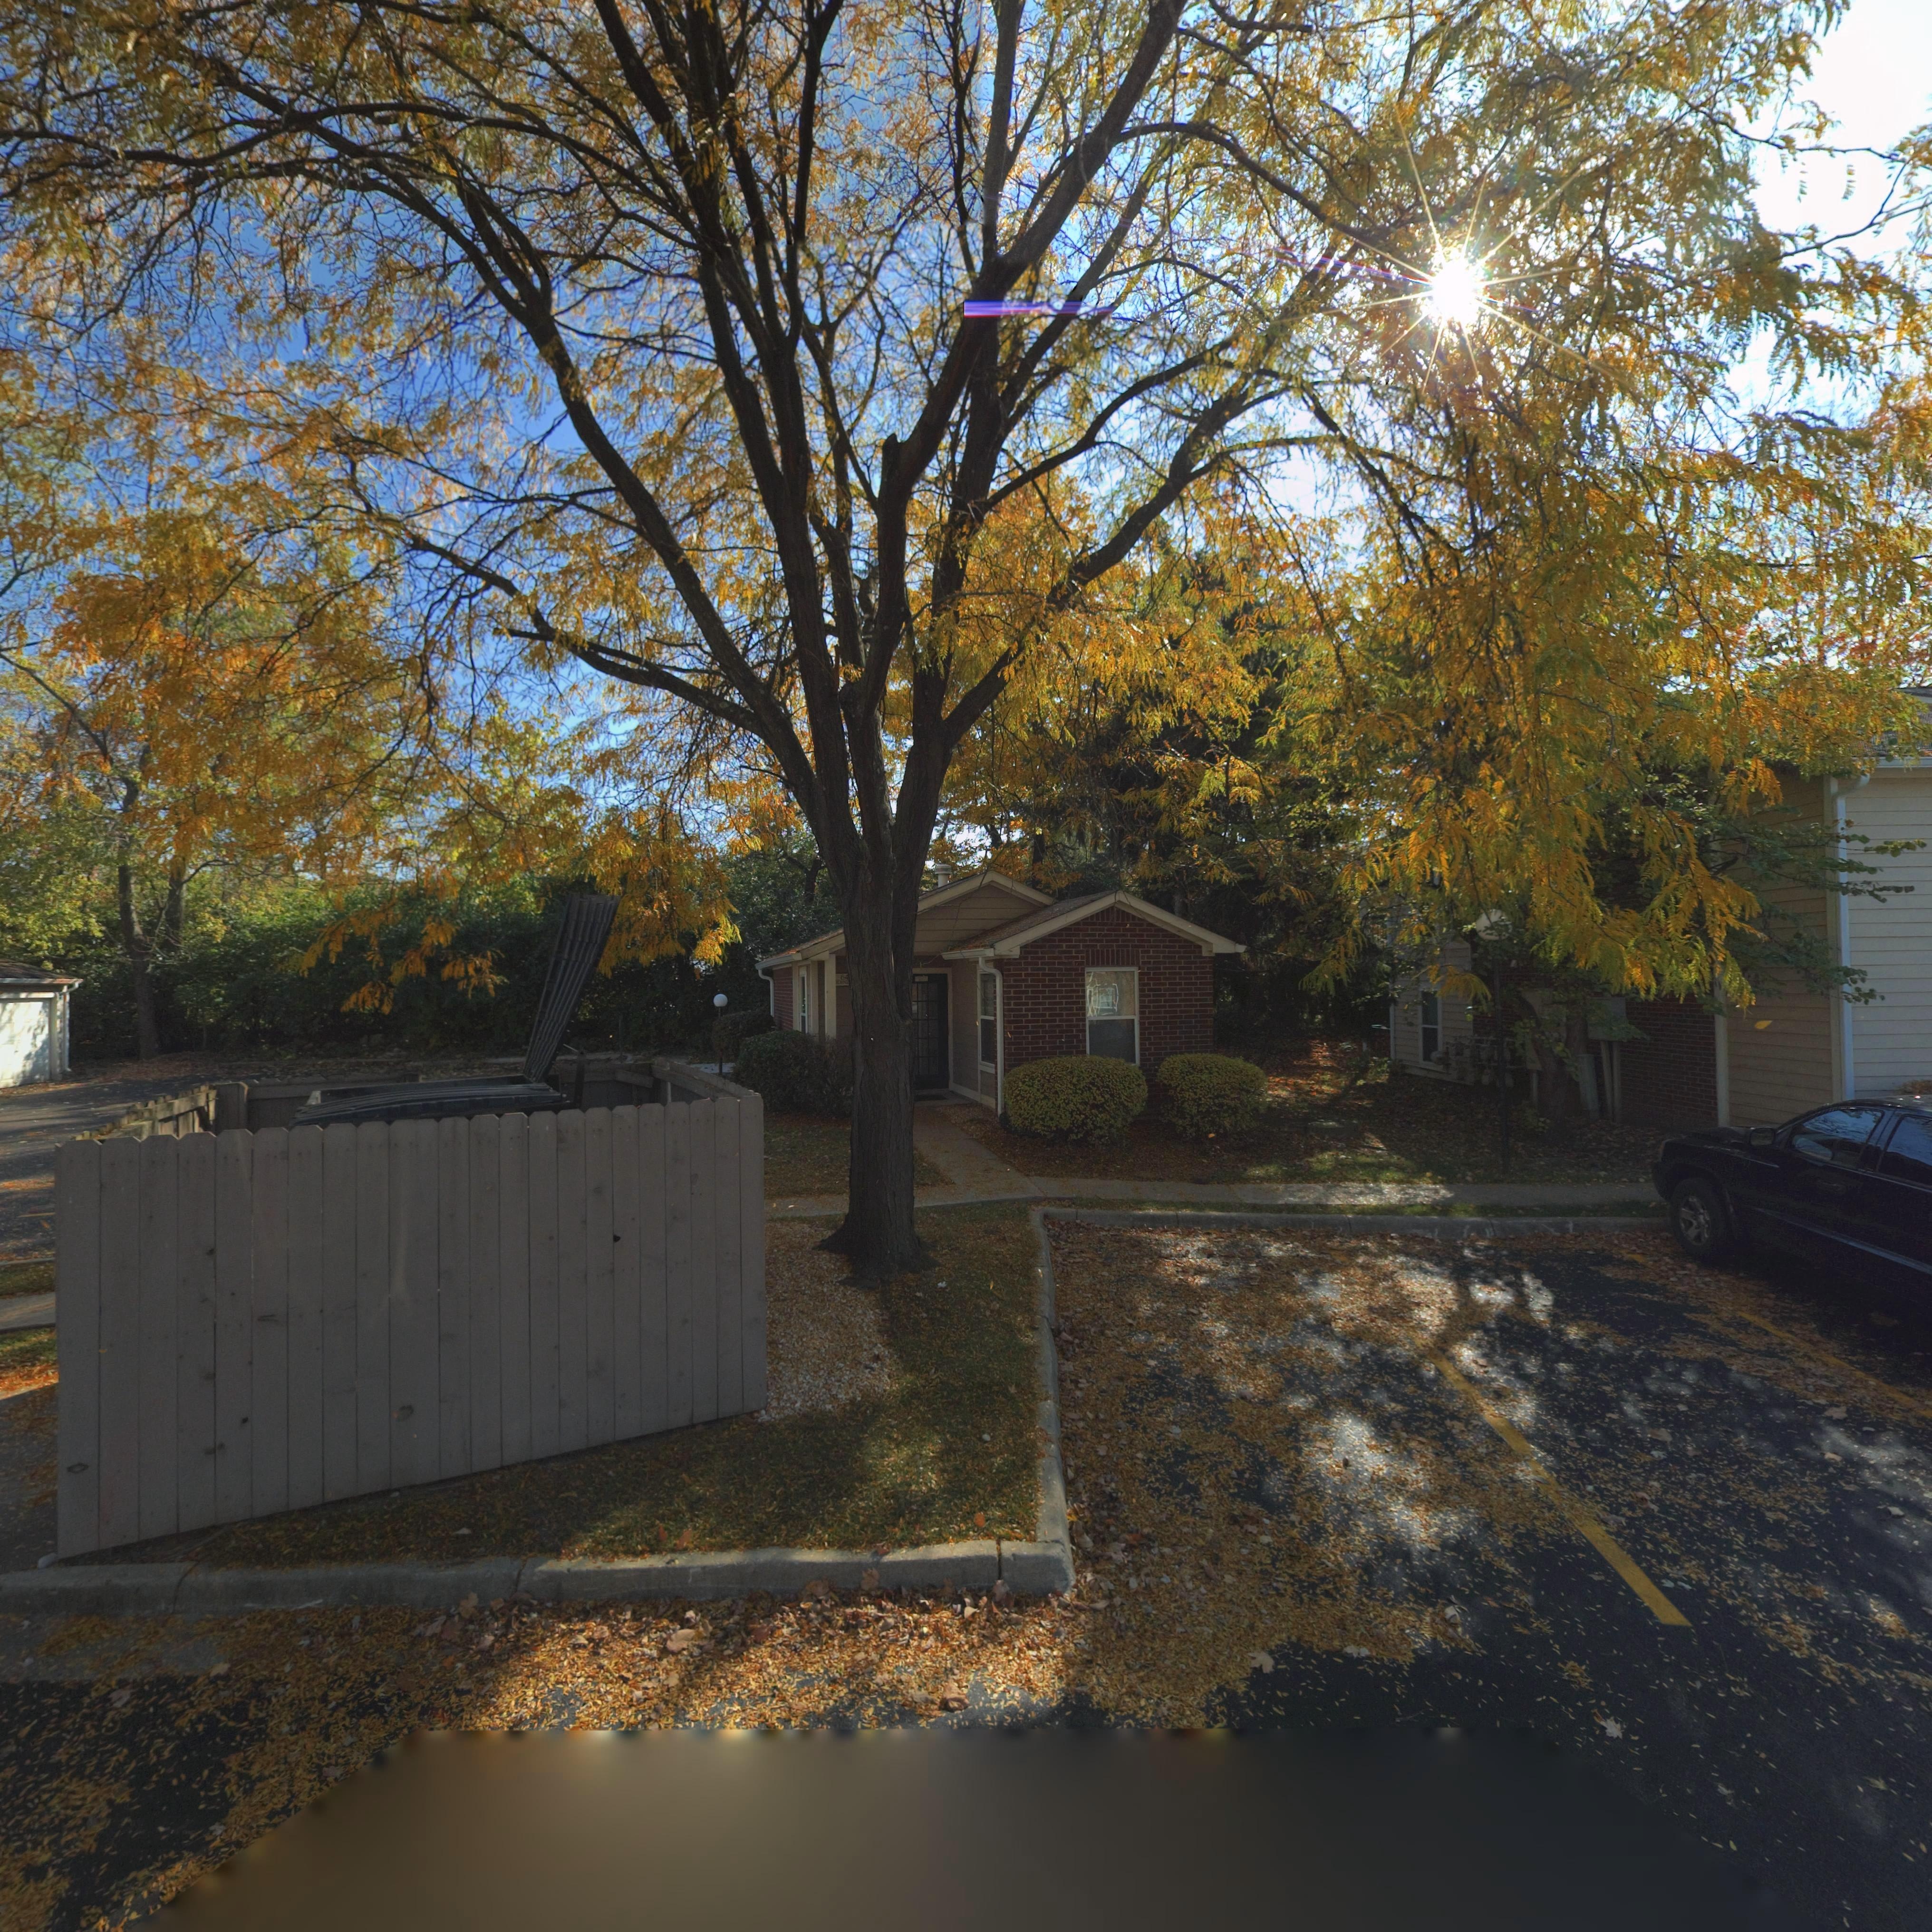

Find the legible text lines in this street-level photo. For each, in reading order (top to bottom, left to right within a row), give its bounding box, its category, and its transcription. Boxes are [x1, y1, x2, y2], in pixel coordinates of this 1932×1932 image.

[840, 973, 850, 981] StreetNumber: 64